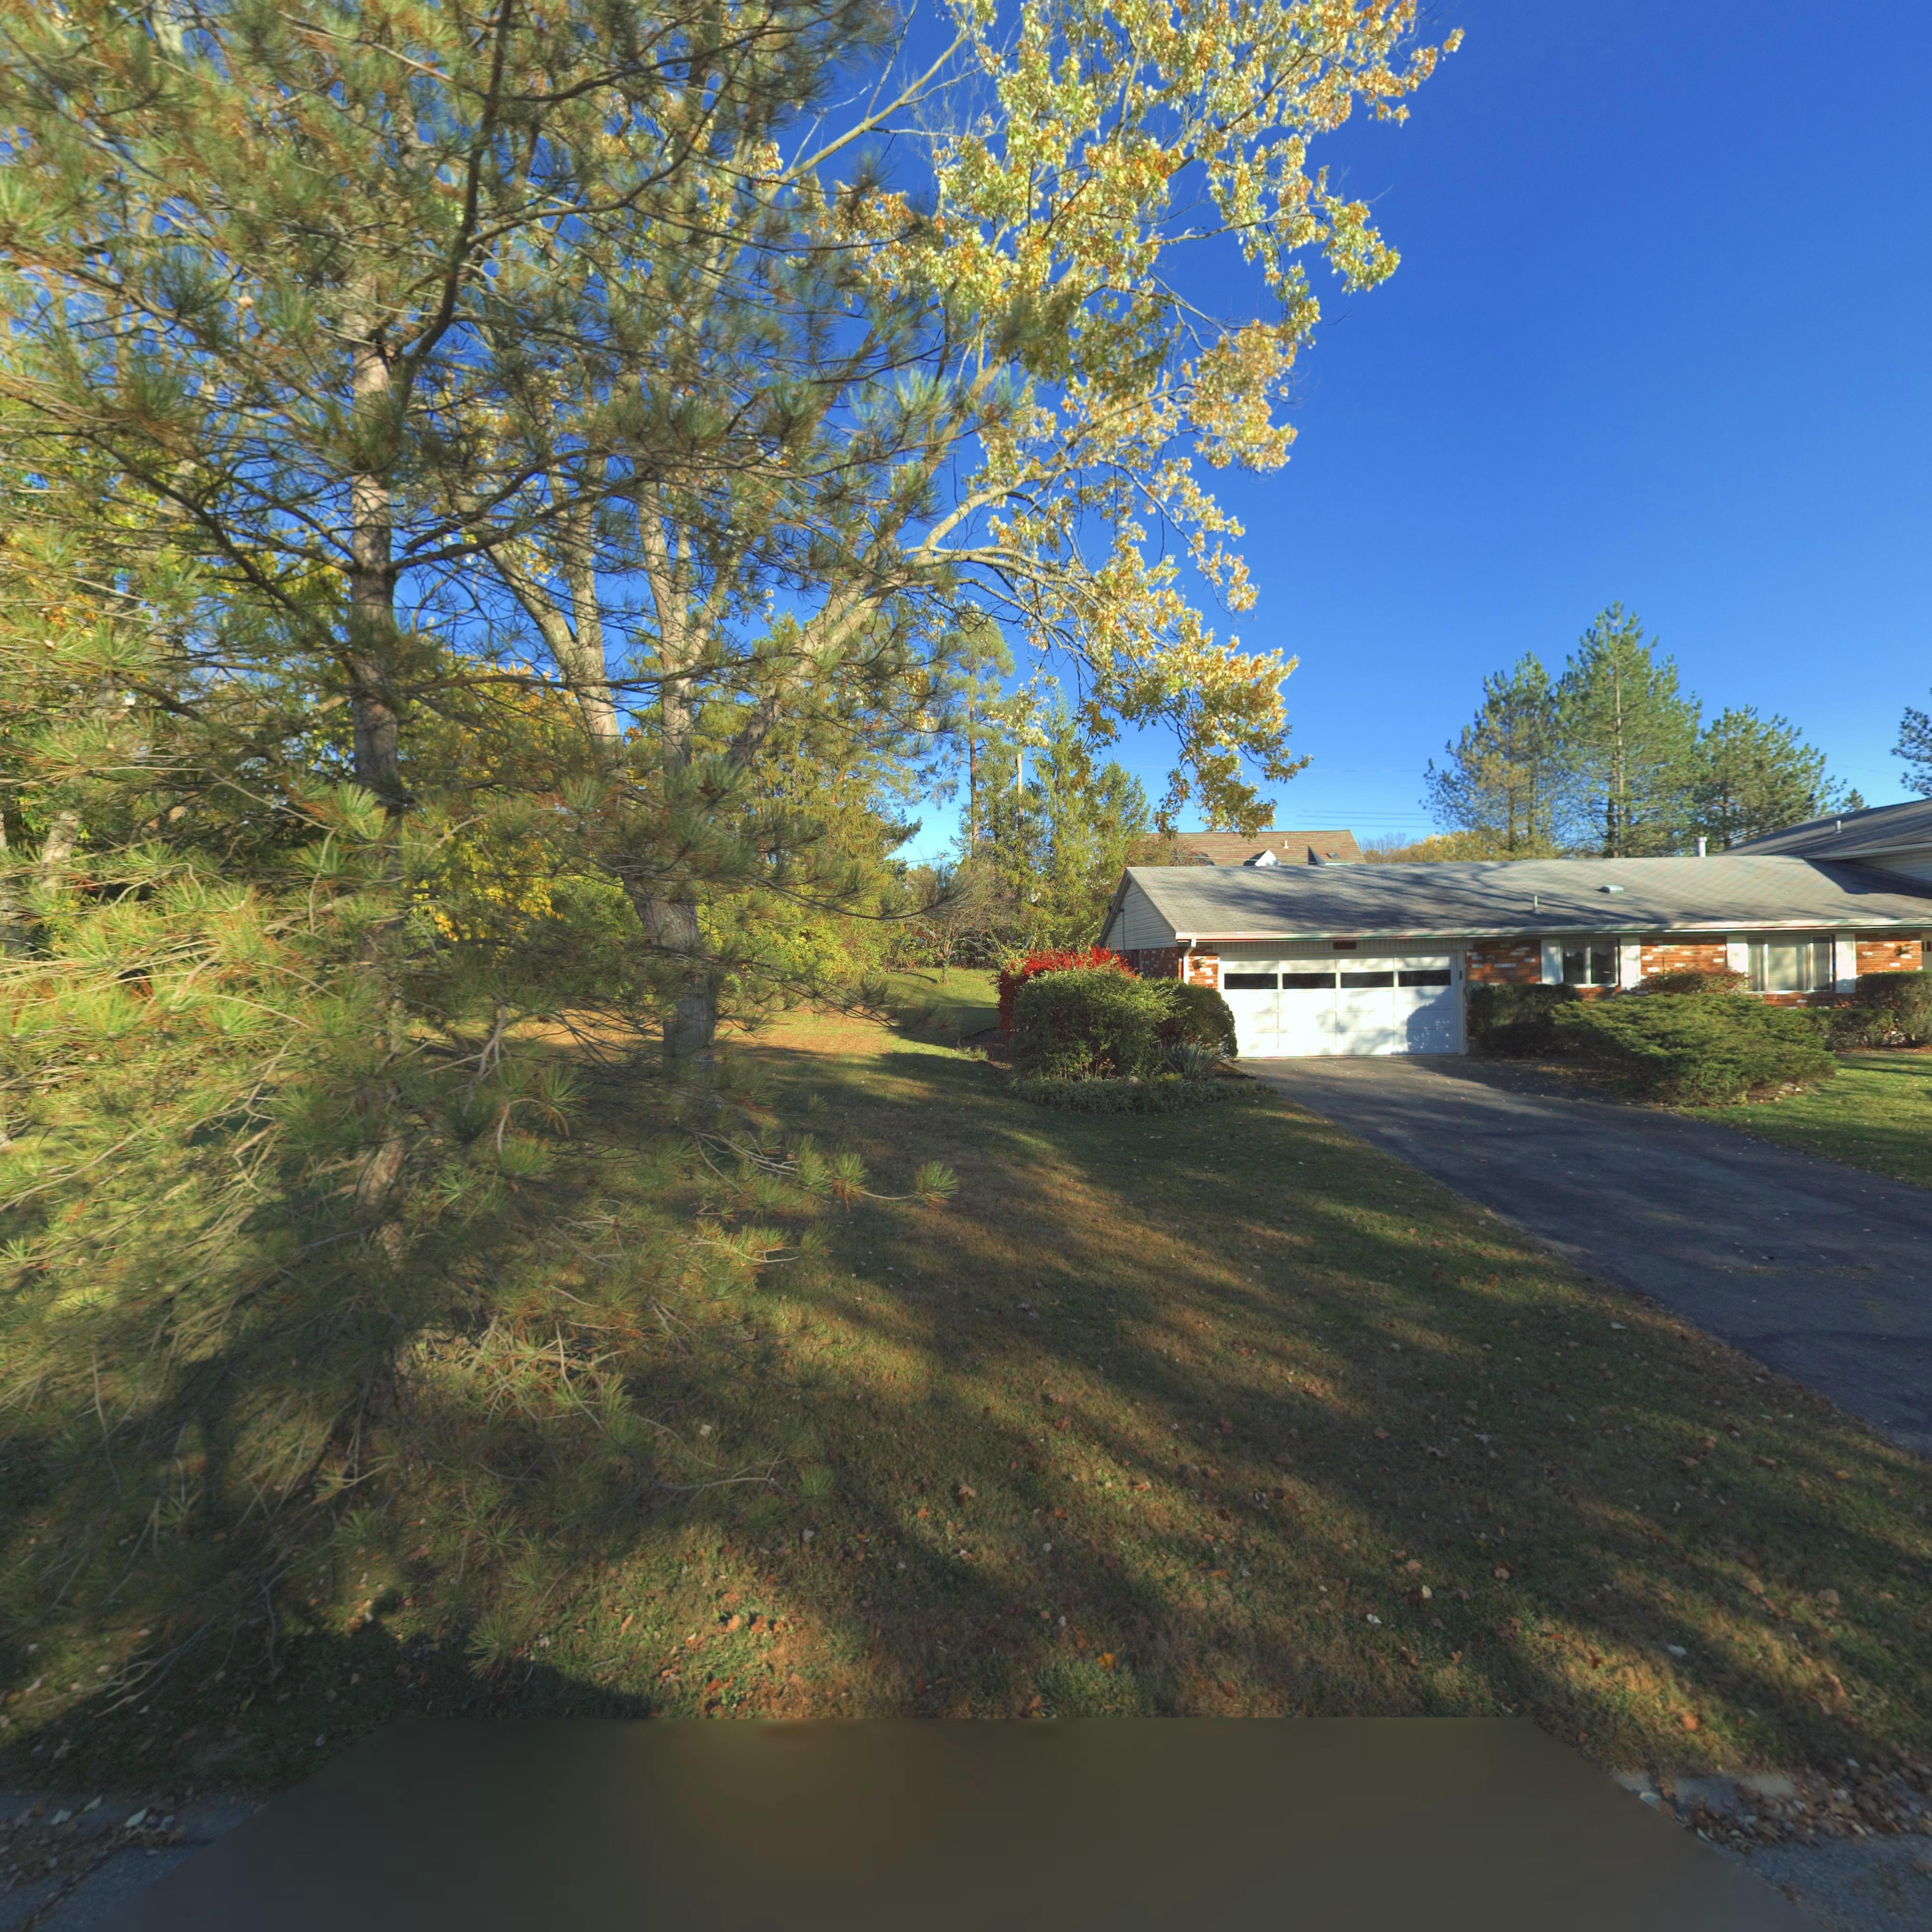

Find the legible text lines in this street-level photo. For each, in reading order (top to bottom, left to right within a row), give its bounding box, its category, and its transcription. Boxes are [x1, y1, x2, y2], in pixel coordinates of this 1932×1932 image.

[1336, 942, 1355, 949] StreetNumber: 5400